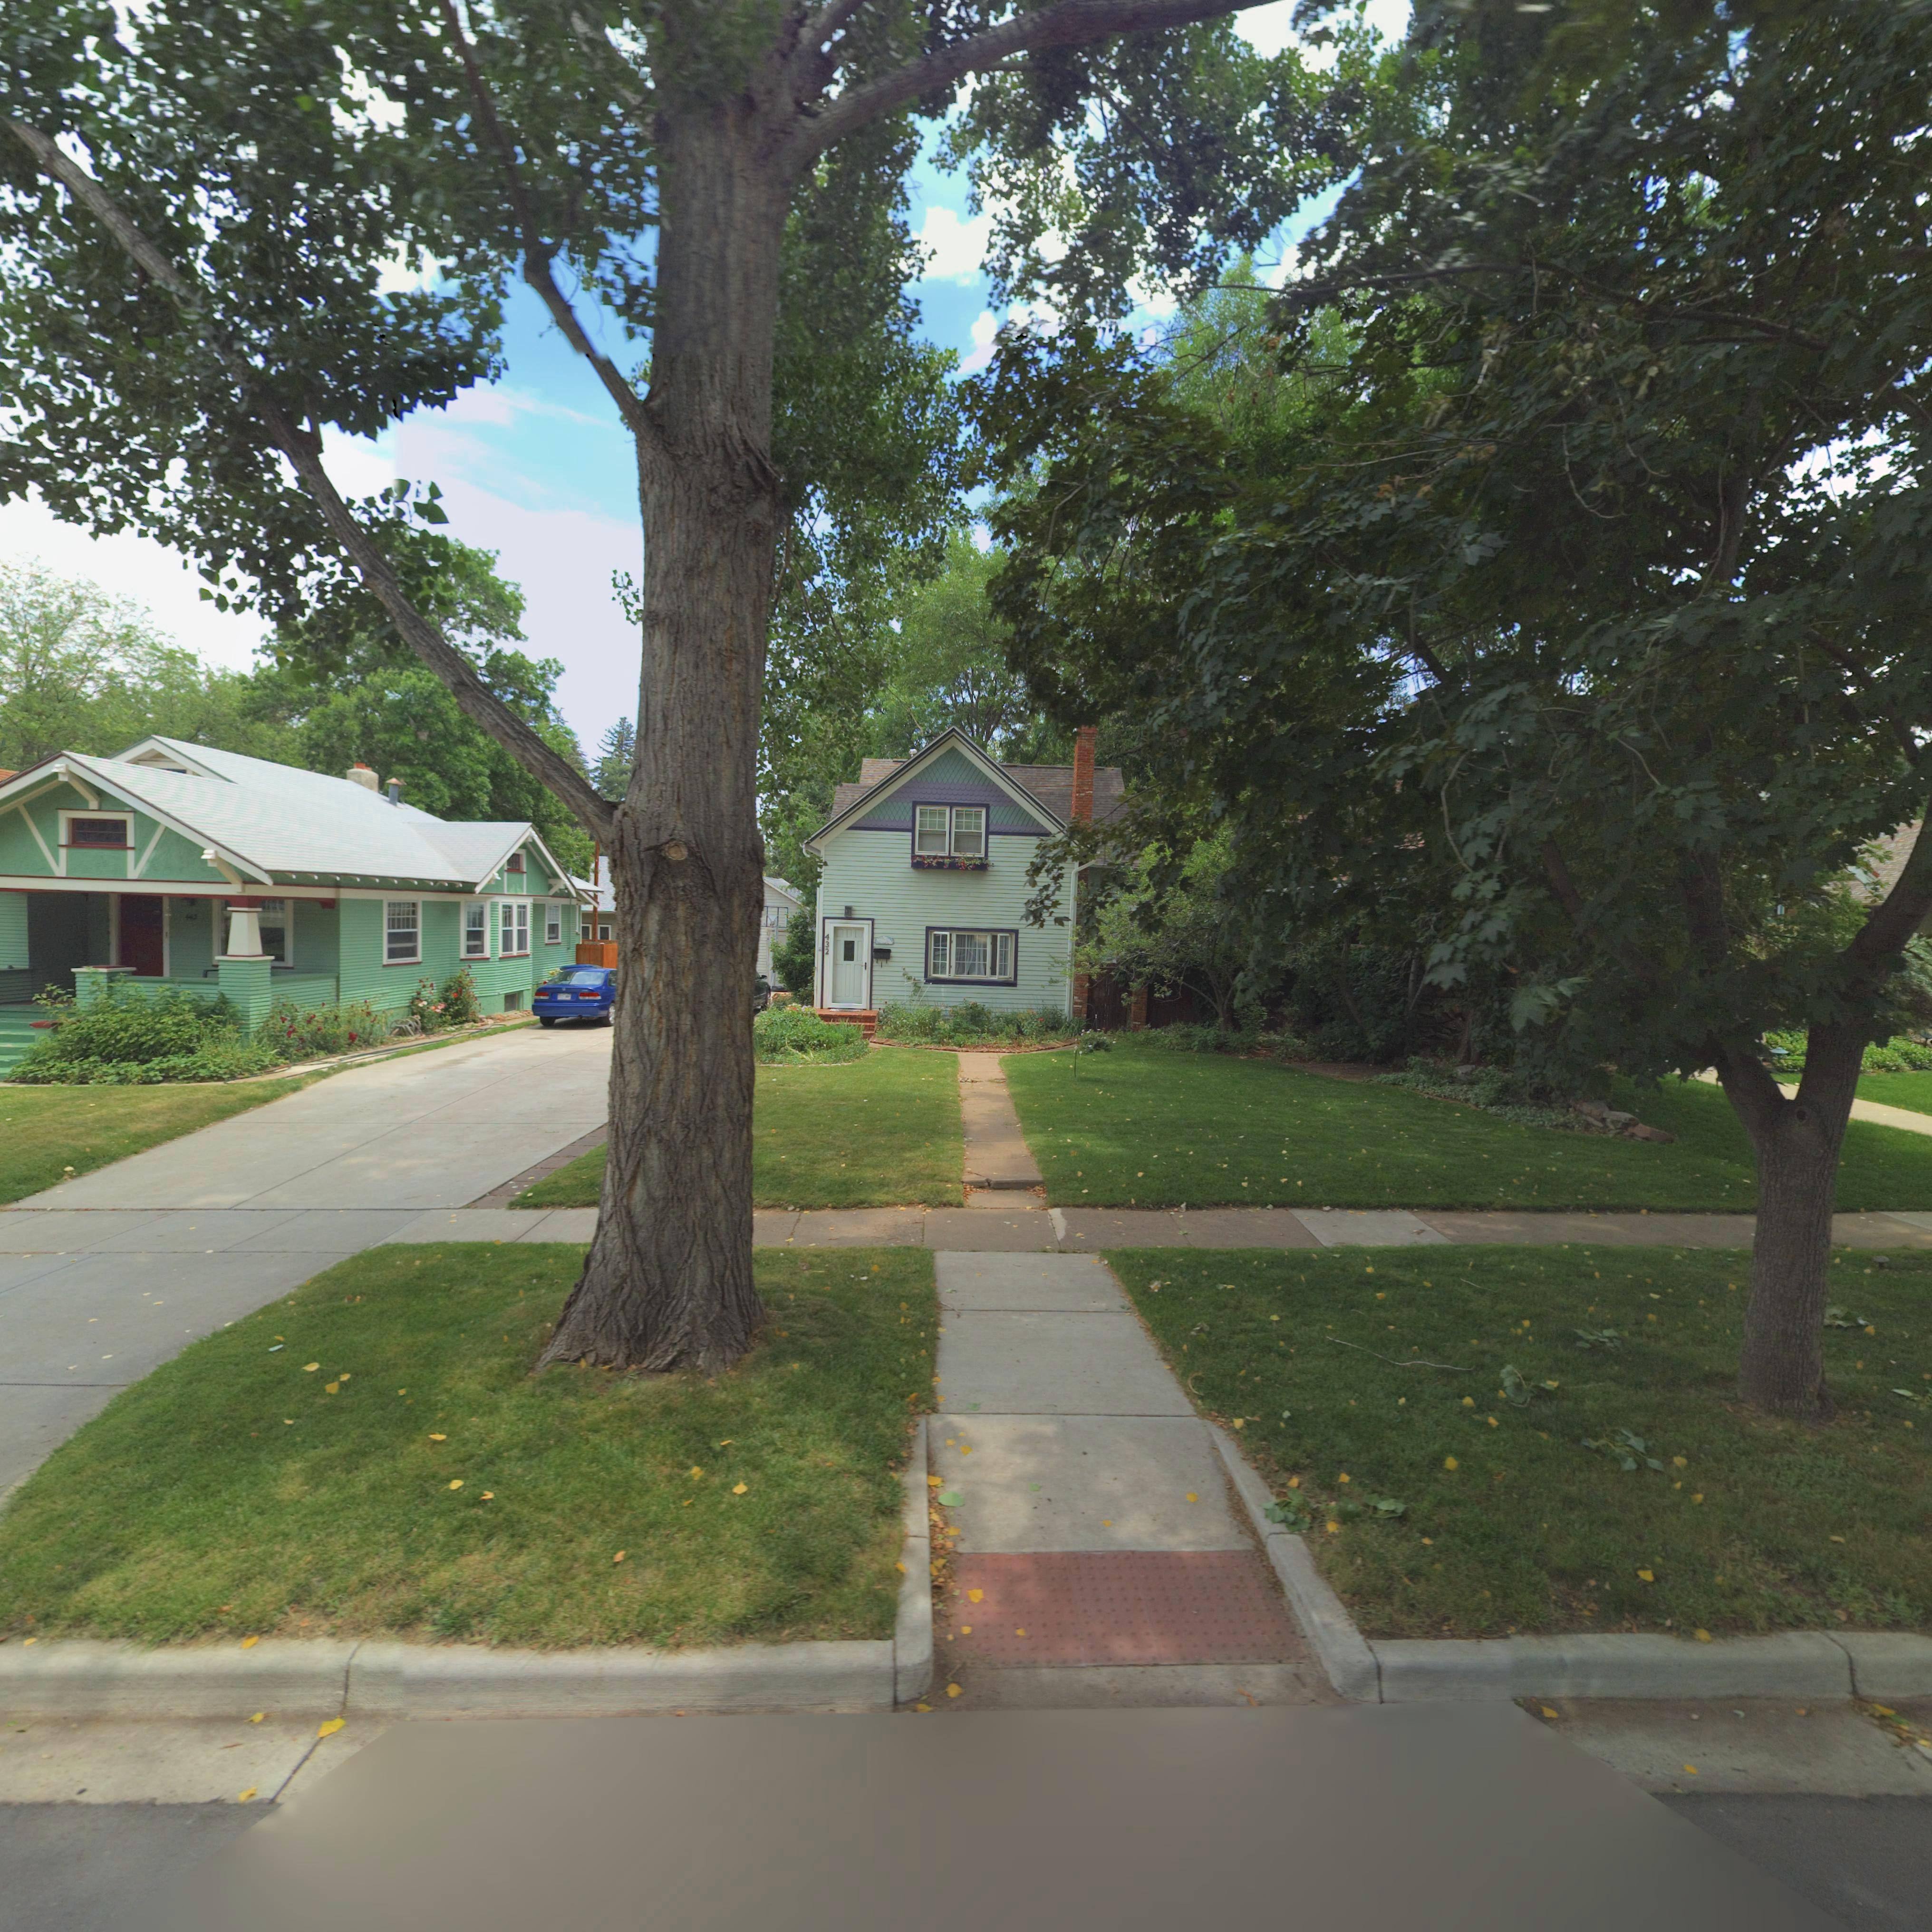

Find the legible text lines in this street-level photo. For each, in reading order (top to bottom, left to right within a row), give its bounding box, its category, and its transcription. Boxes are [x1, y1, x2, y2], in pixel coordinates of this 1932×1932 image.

[184, 913, 198, 920] StreetNumber: 4**
[824, 933, 829, 955] StreetNumber: 432